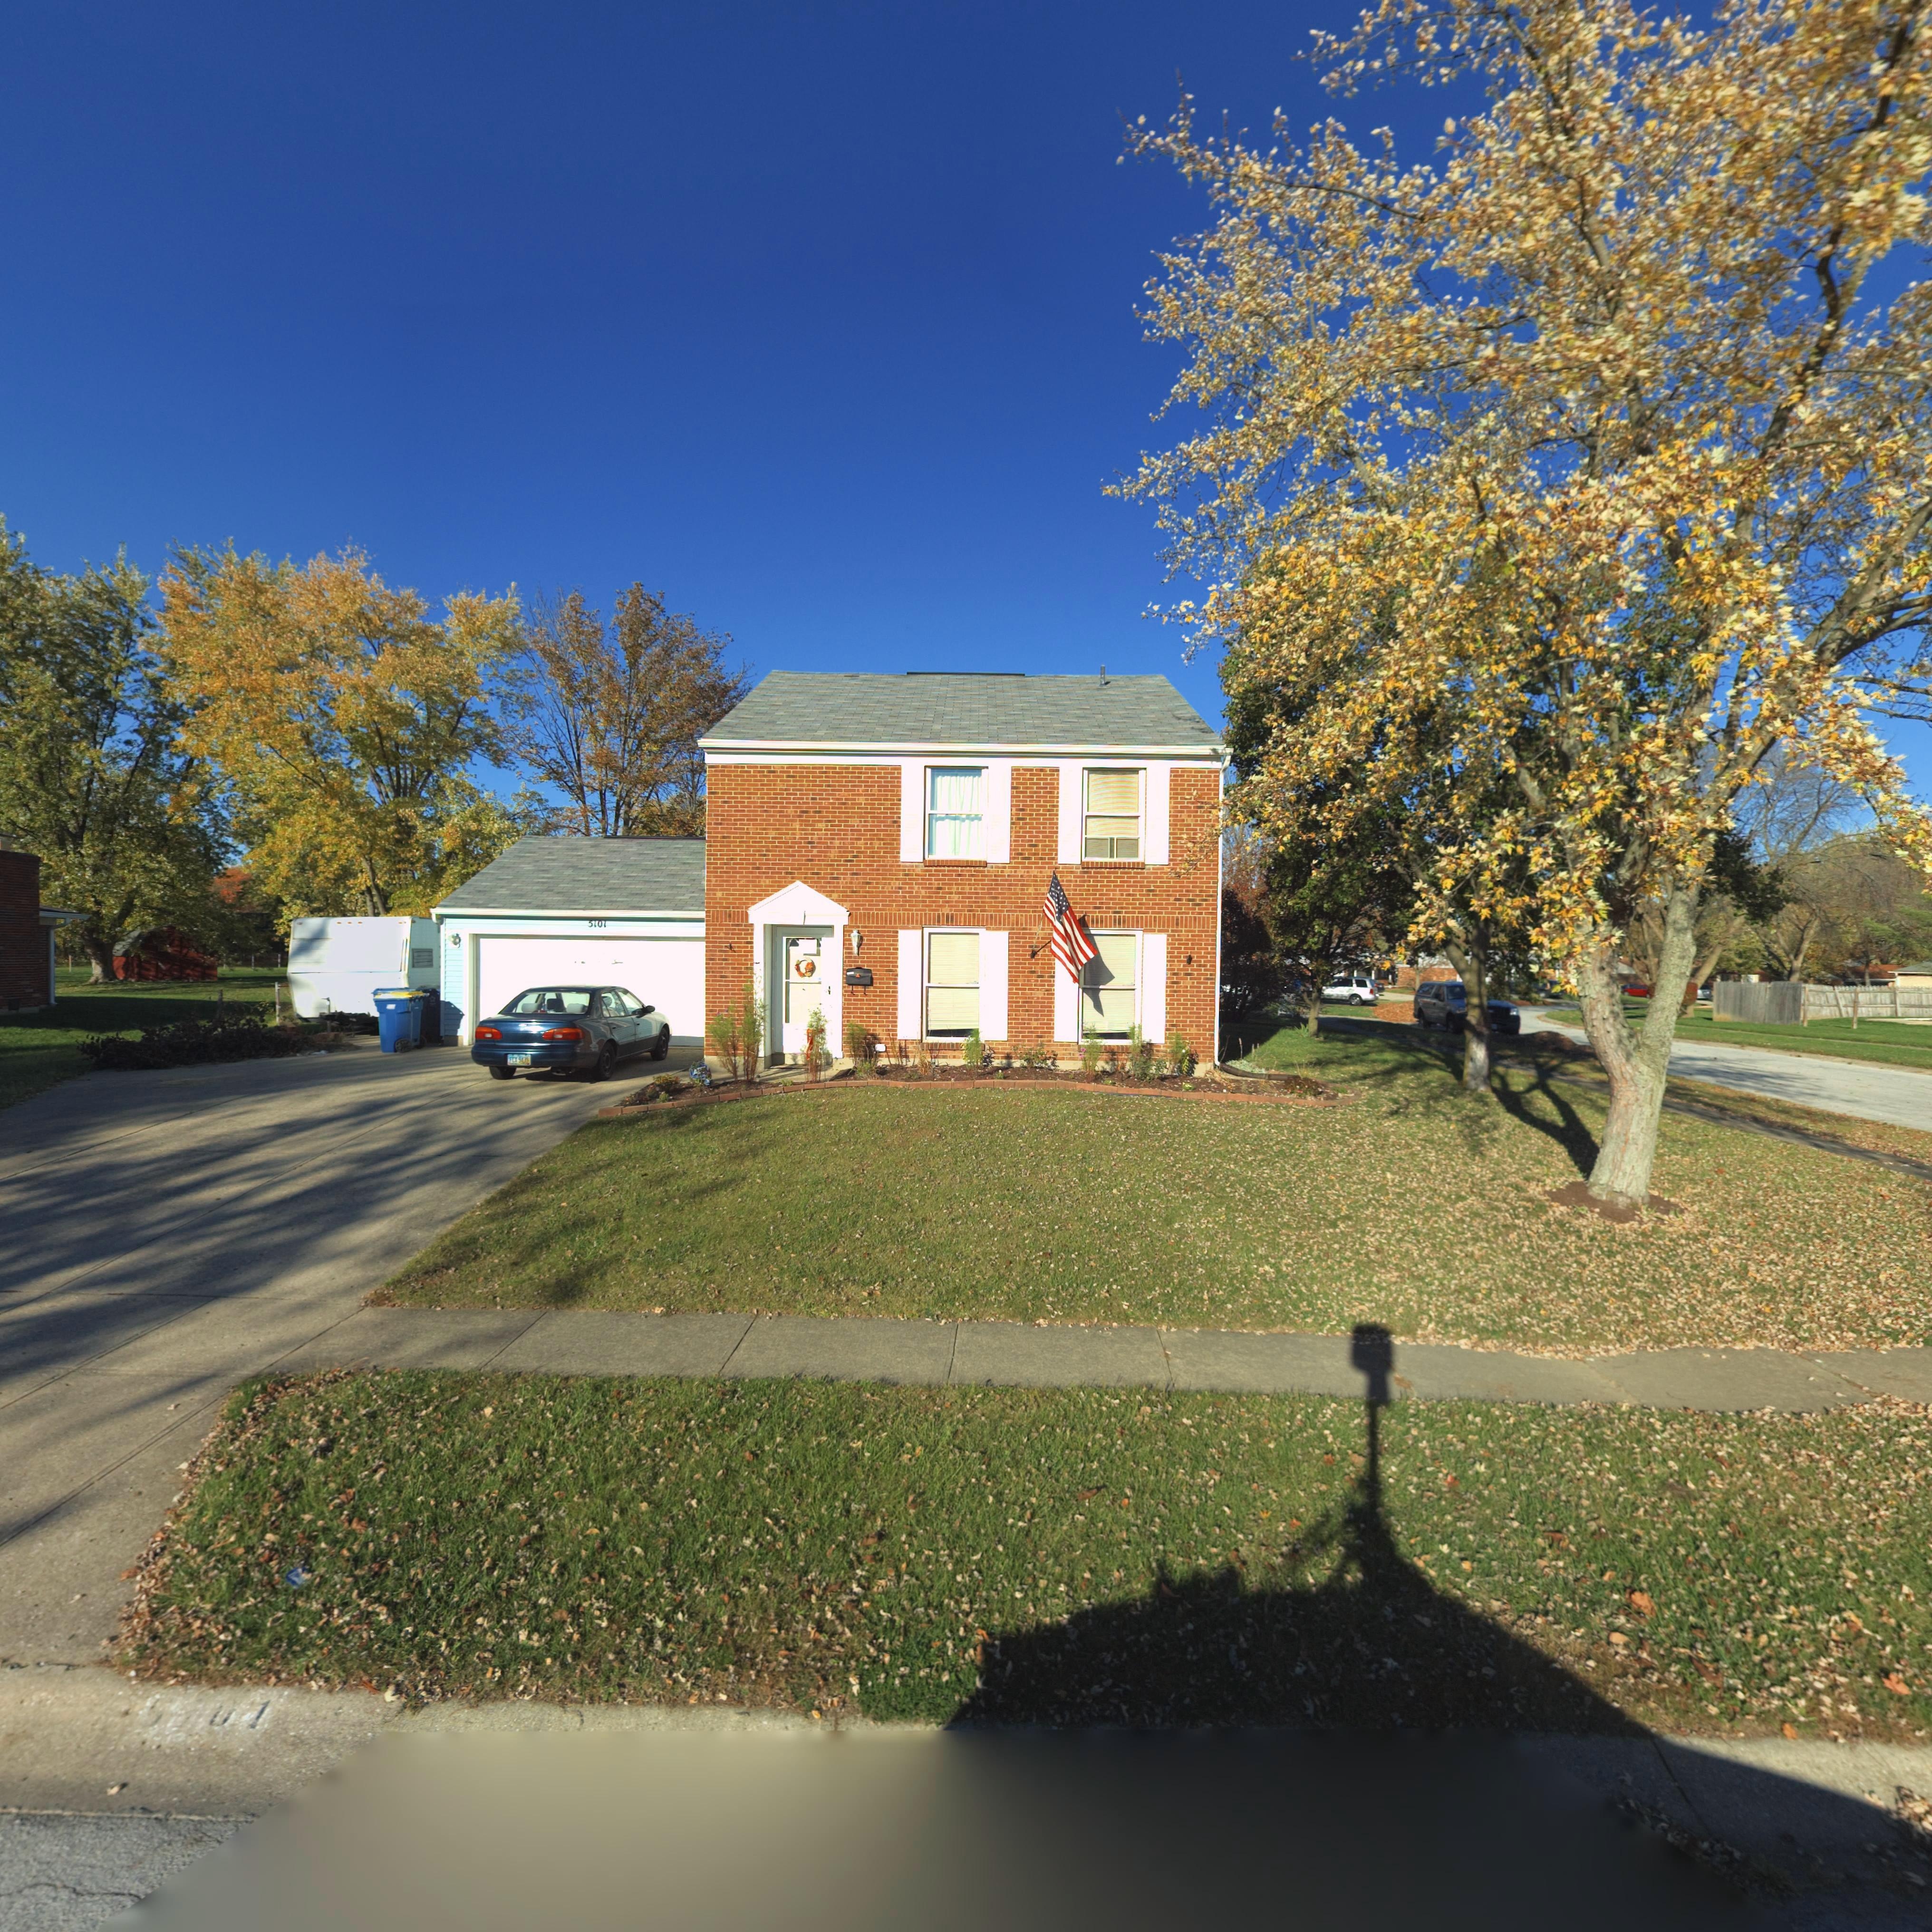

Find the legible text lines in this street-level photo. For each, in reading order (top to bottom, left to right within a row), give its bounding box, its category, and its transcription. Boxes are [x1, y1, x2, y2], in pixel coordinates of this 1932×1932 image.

[587, 919, 607, 928] StreetNumber: 5101
[134, 1695, 273, 1731] StreetNumber: 5*01